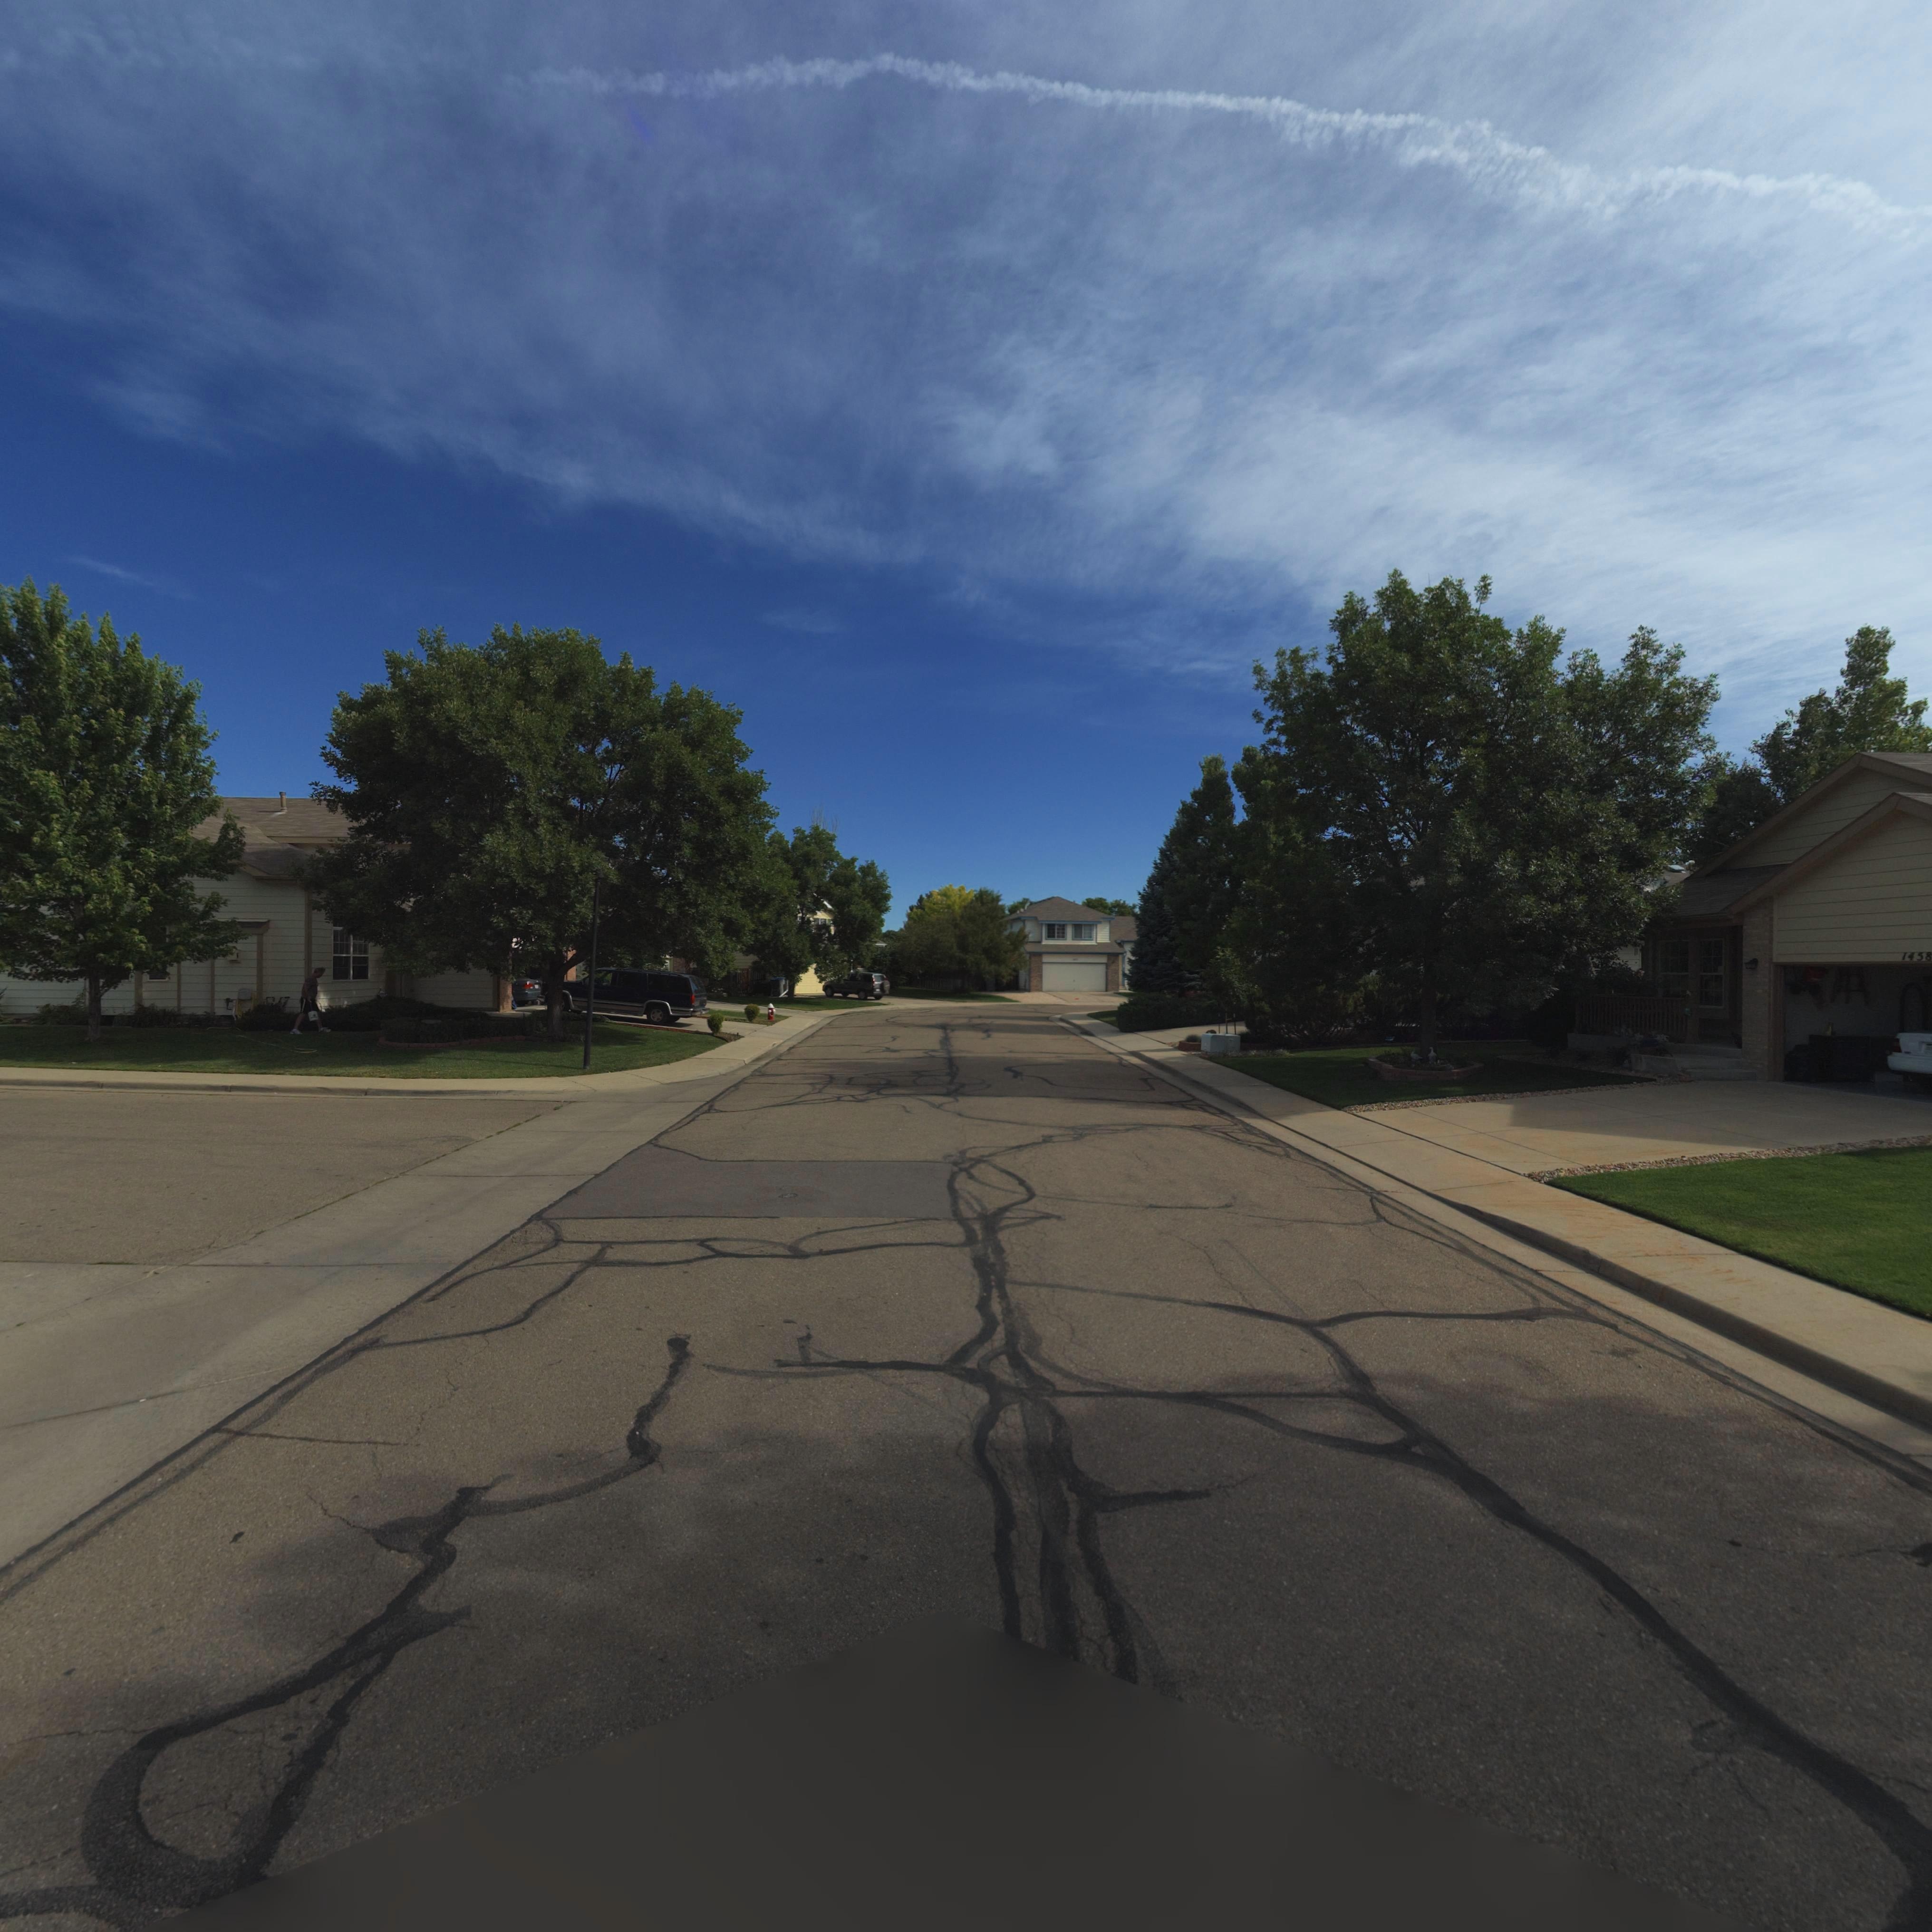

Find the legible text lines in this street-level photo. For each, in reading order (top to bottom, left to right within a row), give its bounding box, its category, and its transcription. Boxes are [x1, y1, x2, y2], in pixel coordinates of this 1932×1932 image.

[1901, 951, 1931, 961] StreetNumber: 1458